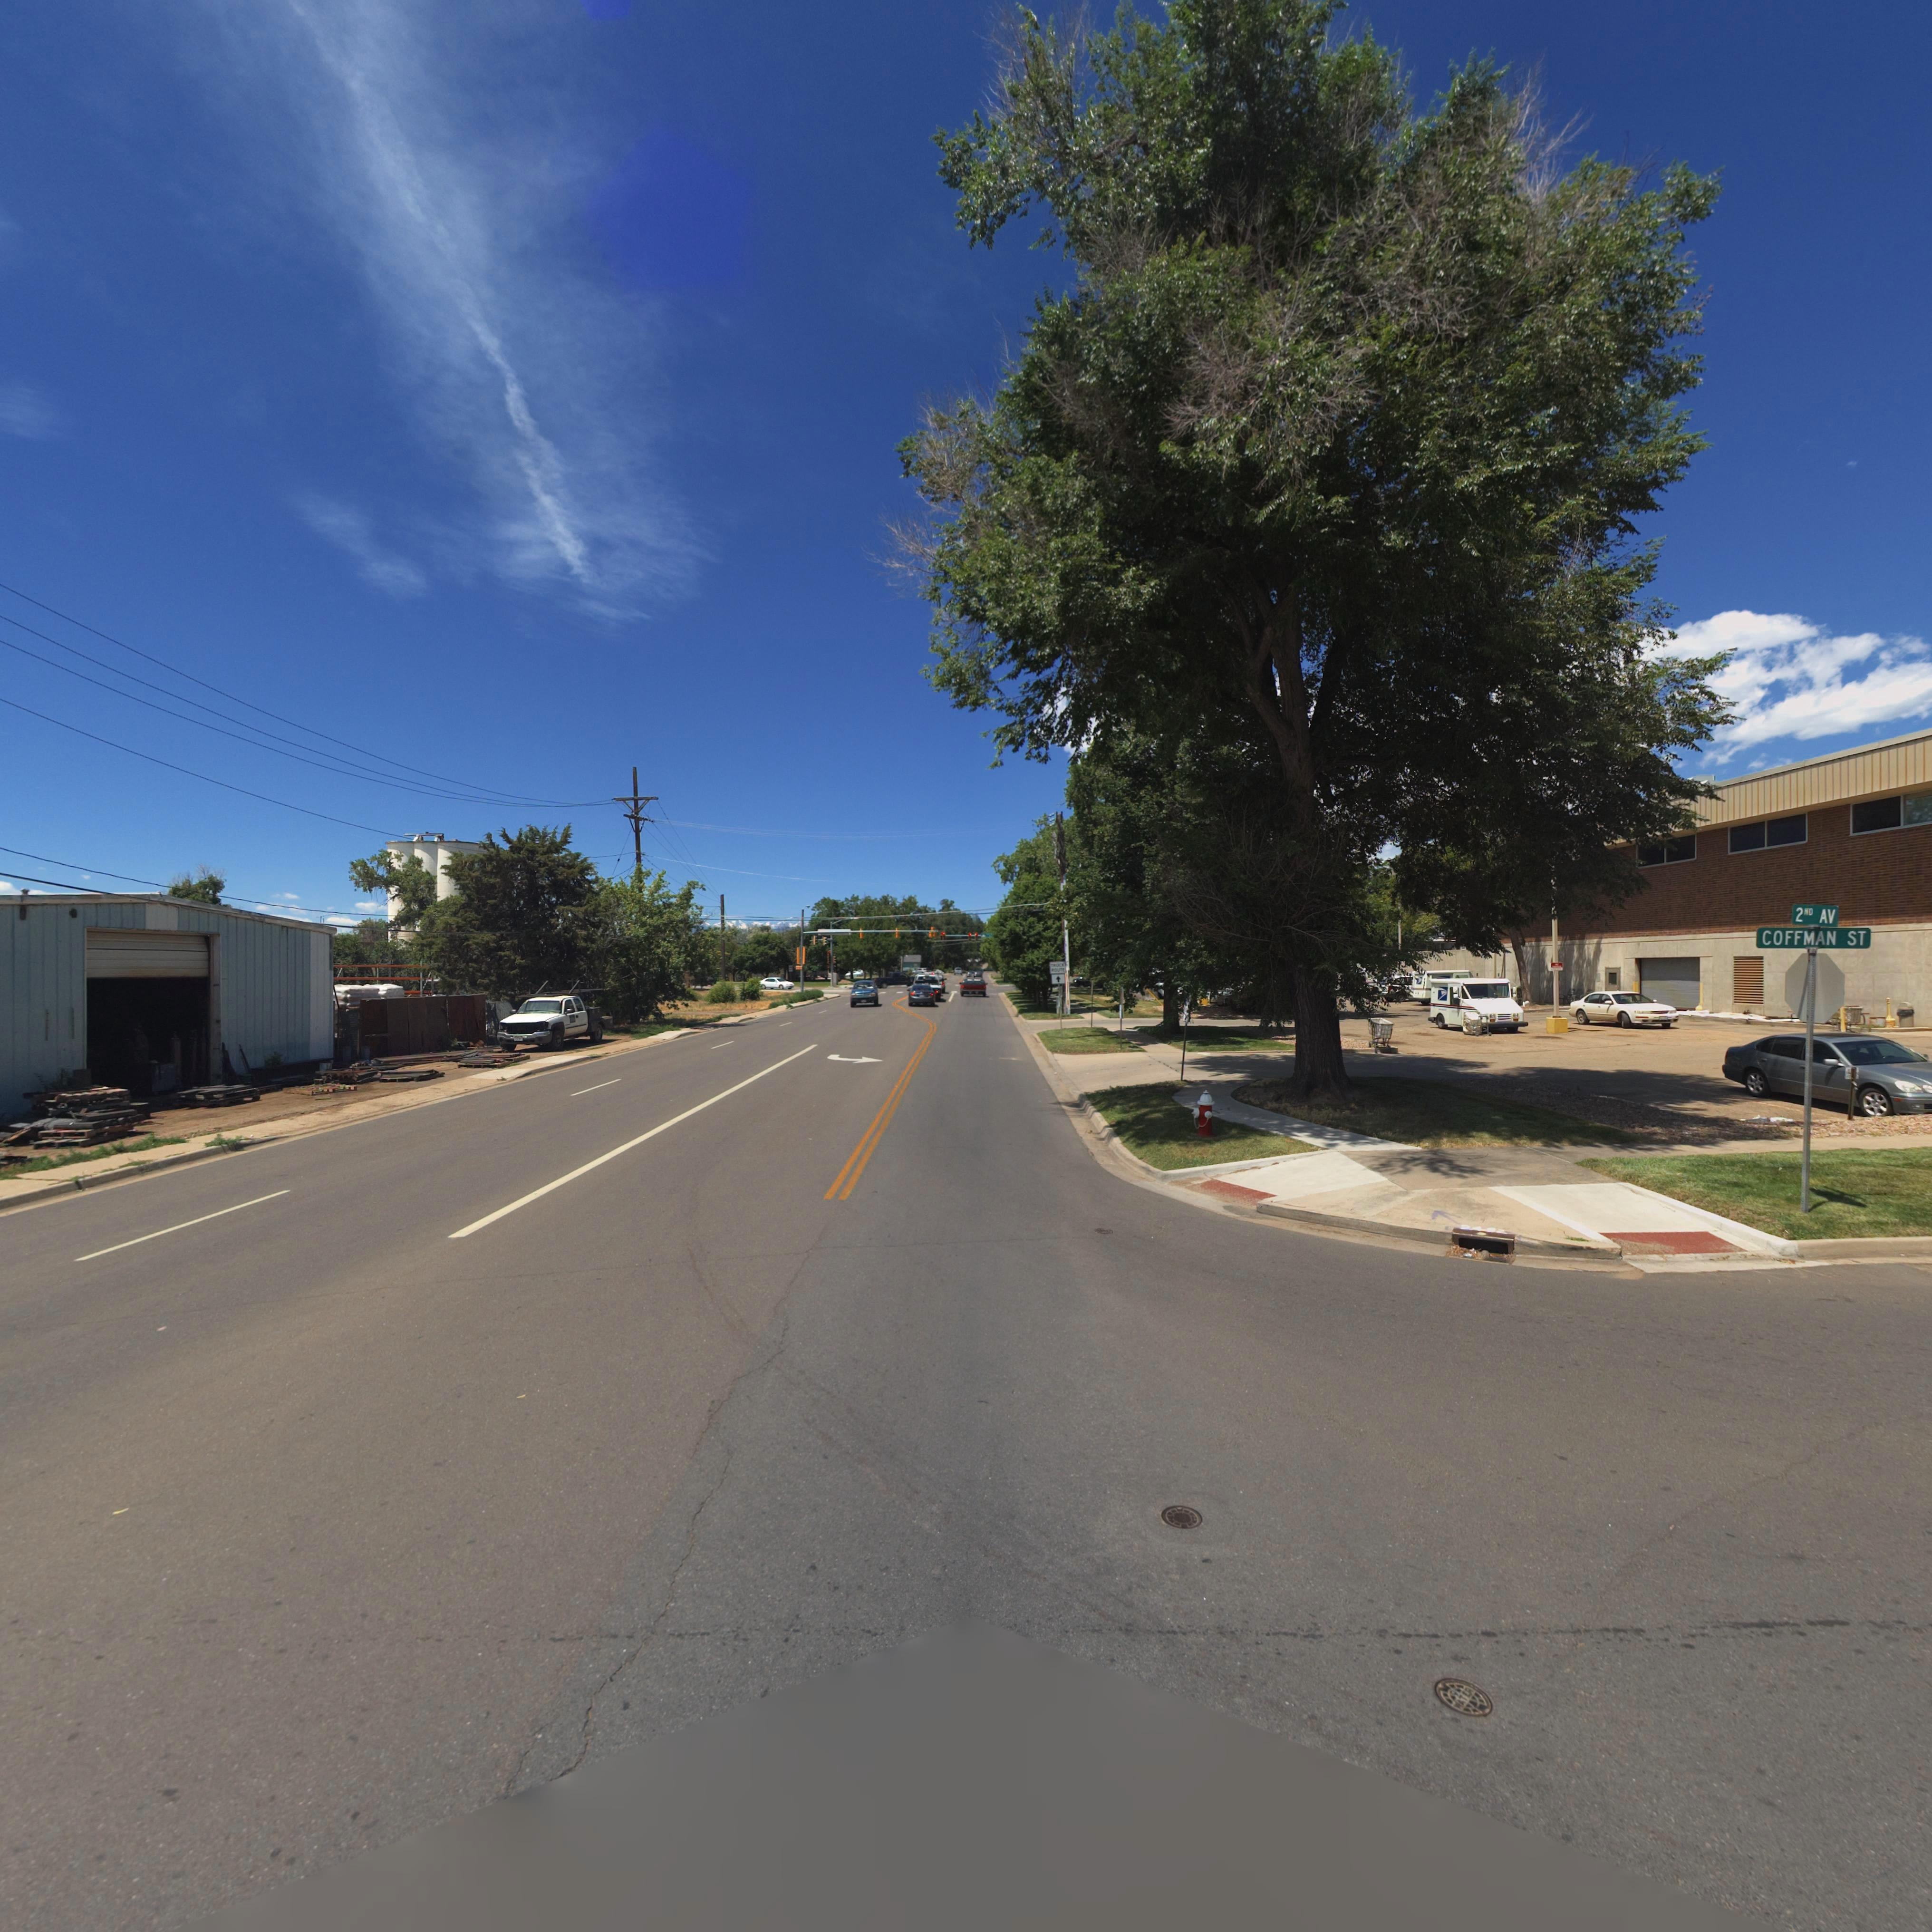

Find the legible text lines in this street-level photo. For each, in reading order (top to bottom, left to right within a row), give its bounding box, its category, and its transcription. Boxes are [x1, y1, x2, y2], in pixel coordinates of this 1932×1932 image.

[1794, 906, 1836, 924] StreetName: 2ND AV
[1761, 929, 1867, 946] StreetName: COFFMAN ST